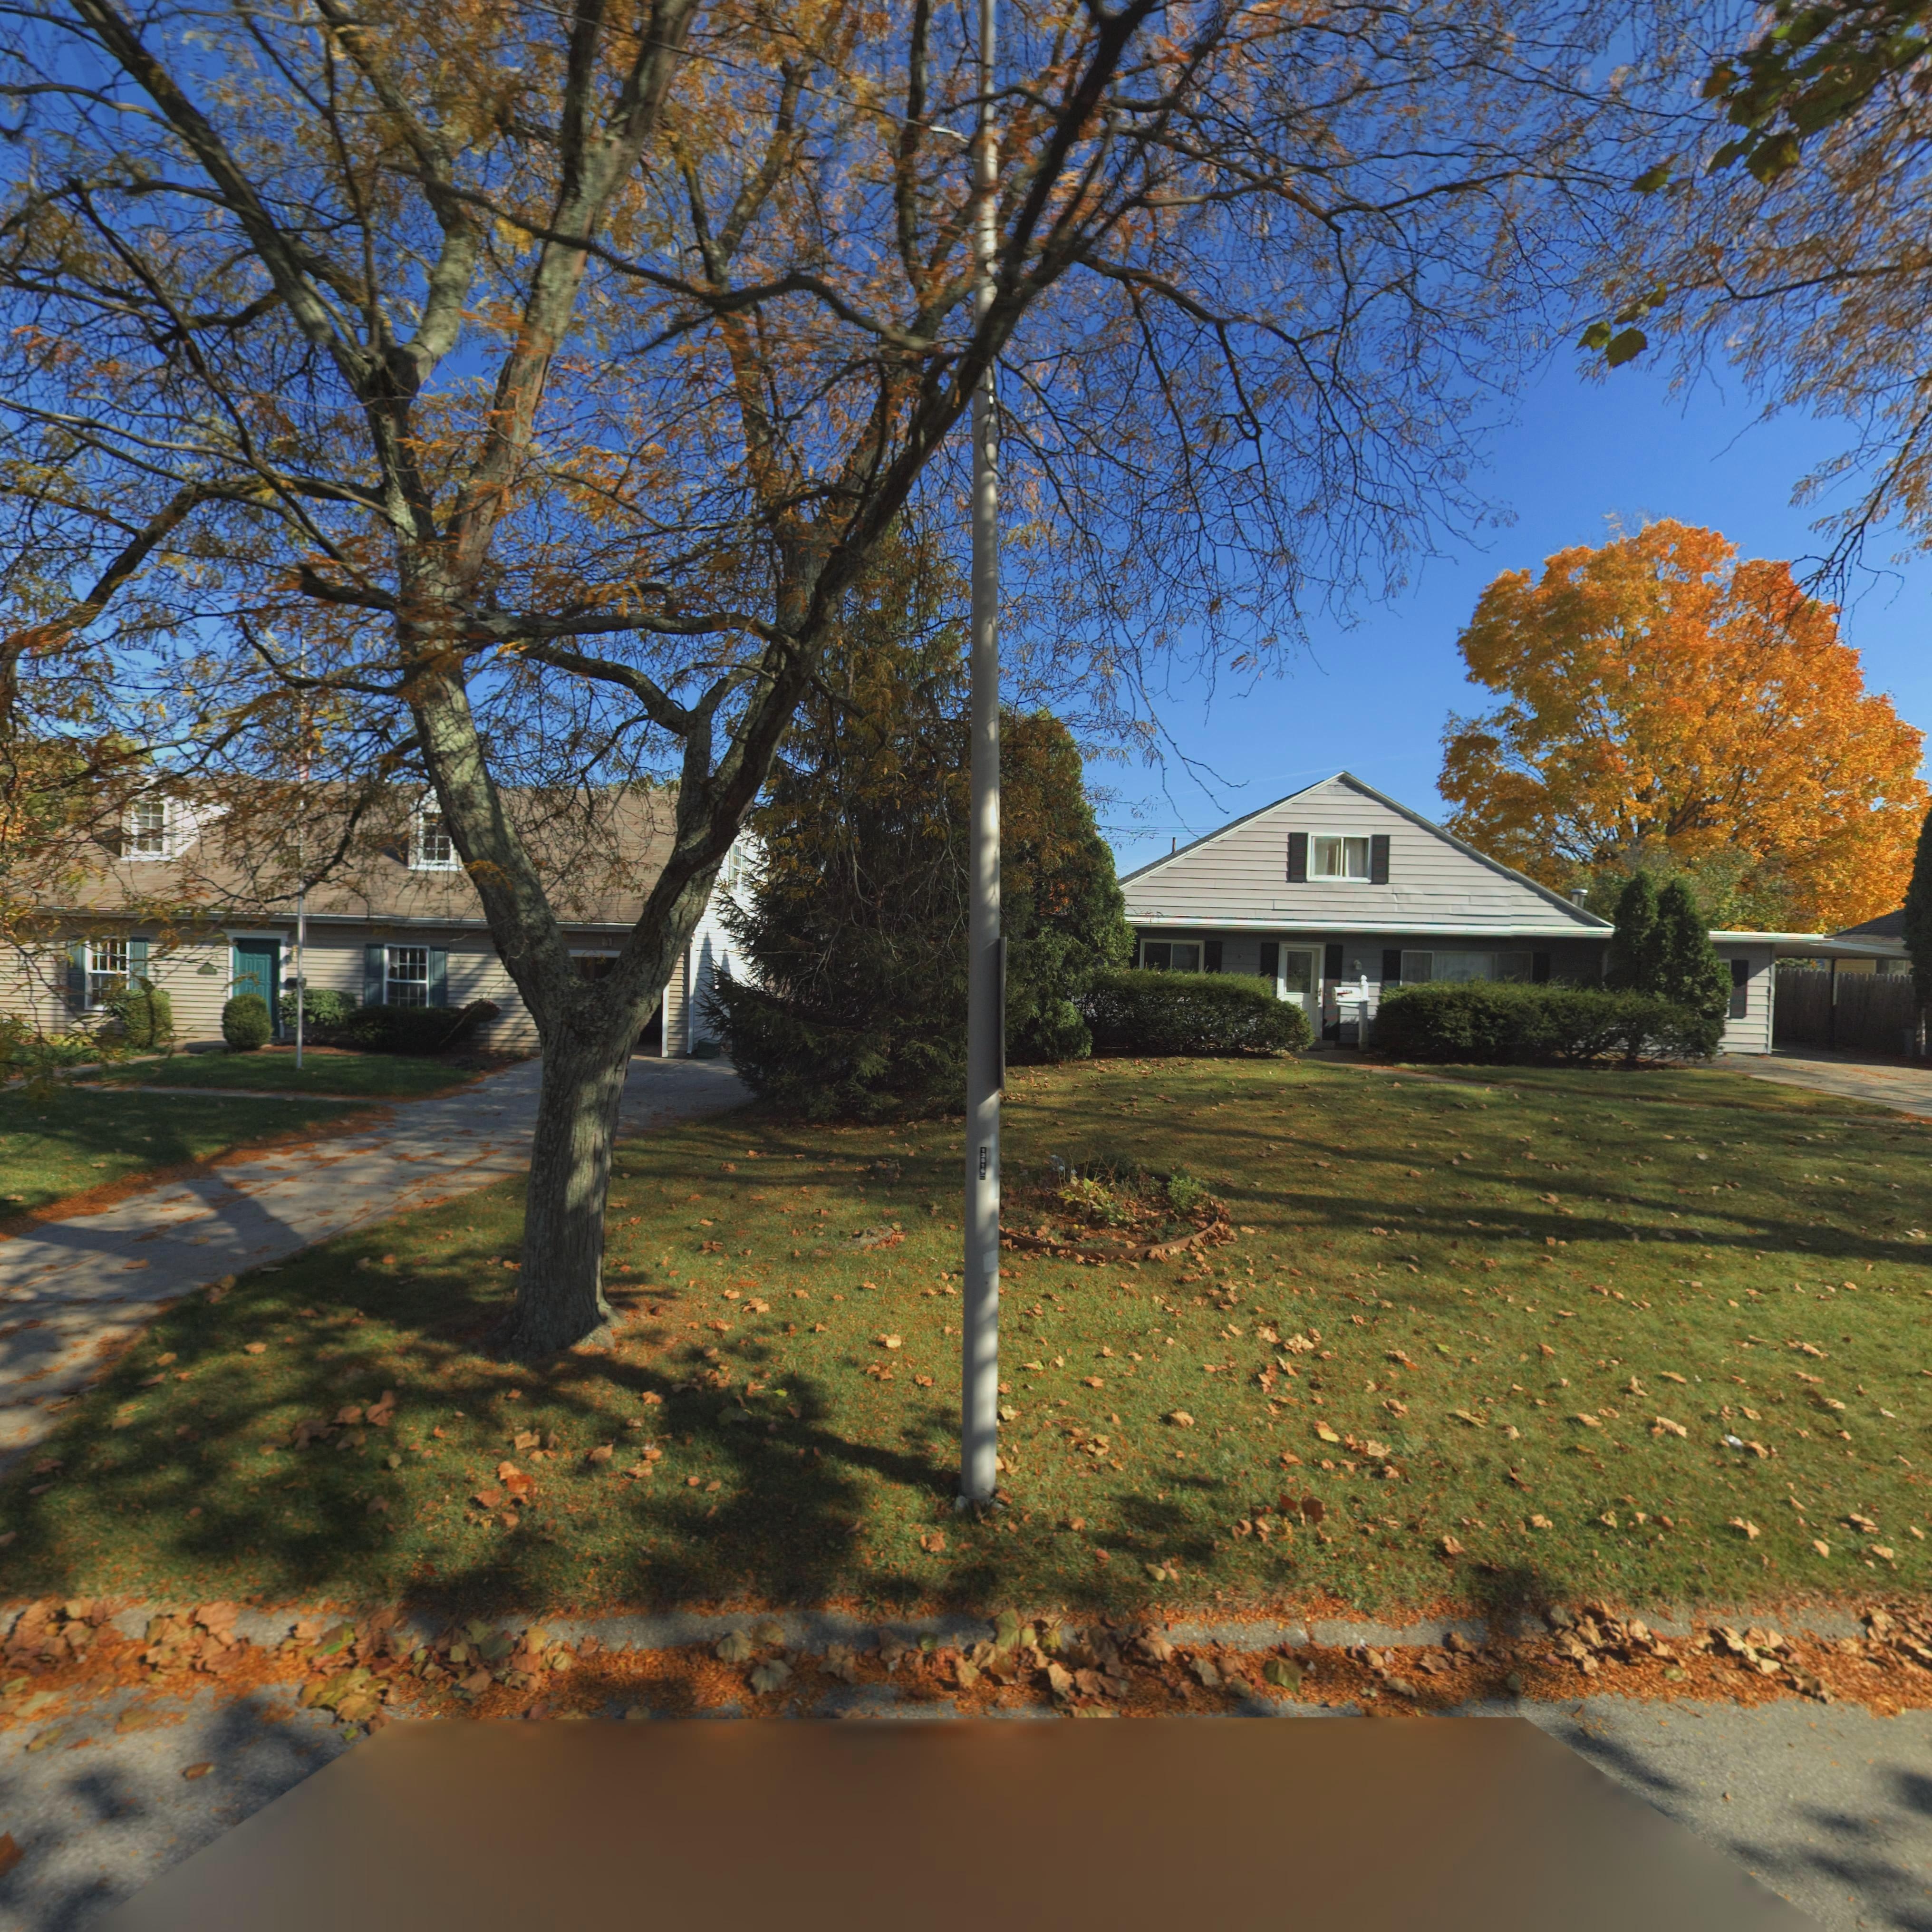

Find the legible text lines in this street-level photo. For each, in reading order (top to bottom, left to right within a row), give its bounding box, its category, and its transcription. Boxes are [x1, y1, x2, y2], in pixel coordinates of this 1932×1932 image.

[980, 1147, 986, 1174] None: 13516